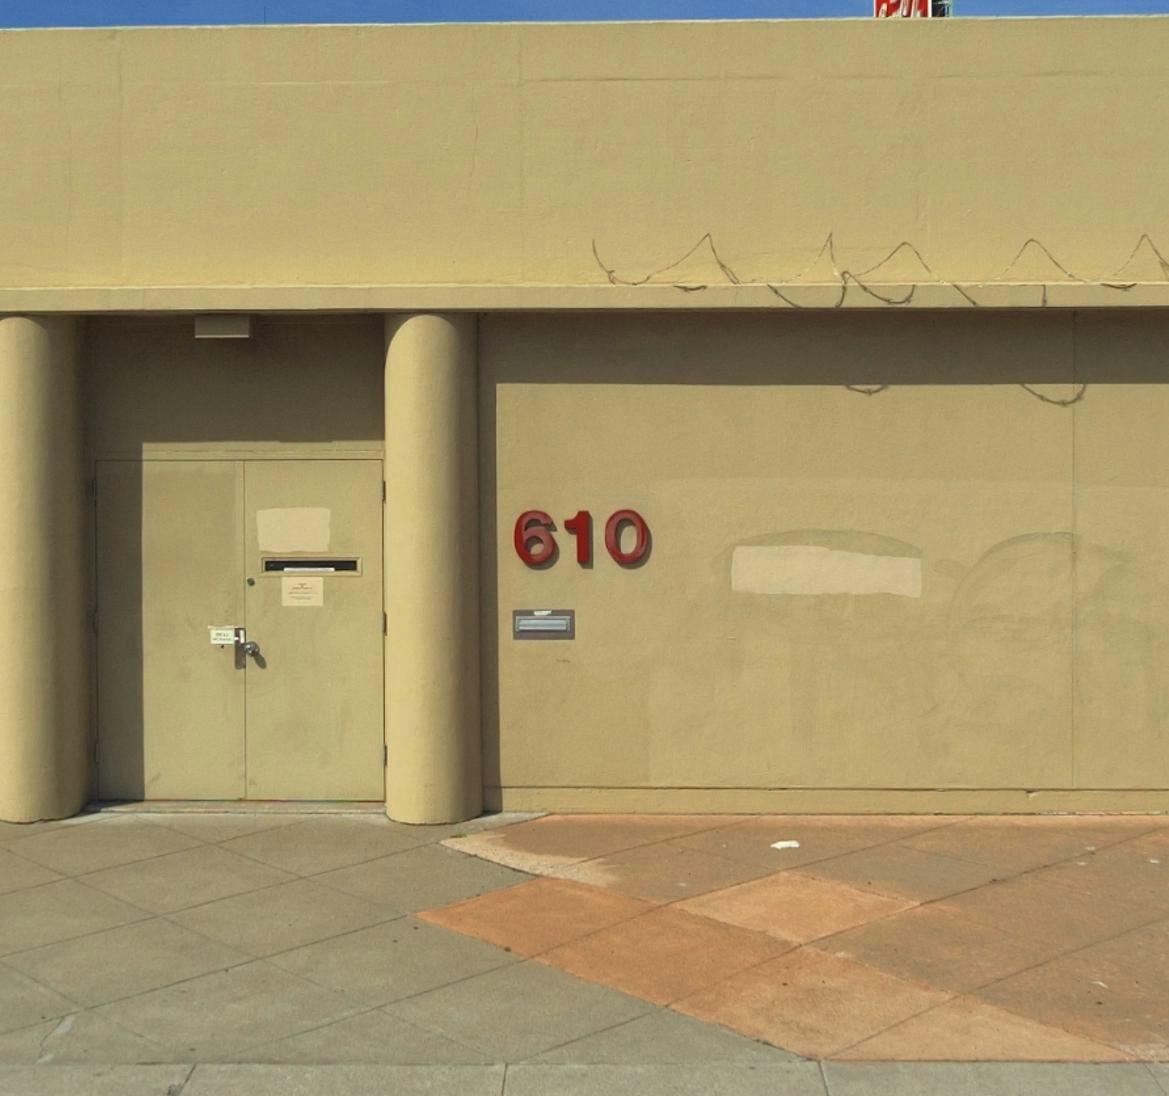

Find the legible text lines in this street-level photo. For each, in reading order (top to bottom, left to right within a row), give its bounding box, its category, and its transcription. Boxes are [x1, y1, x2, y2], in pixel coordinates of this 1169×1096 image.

[509, 504, 656, 572] StreetNumber: 610